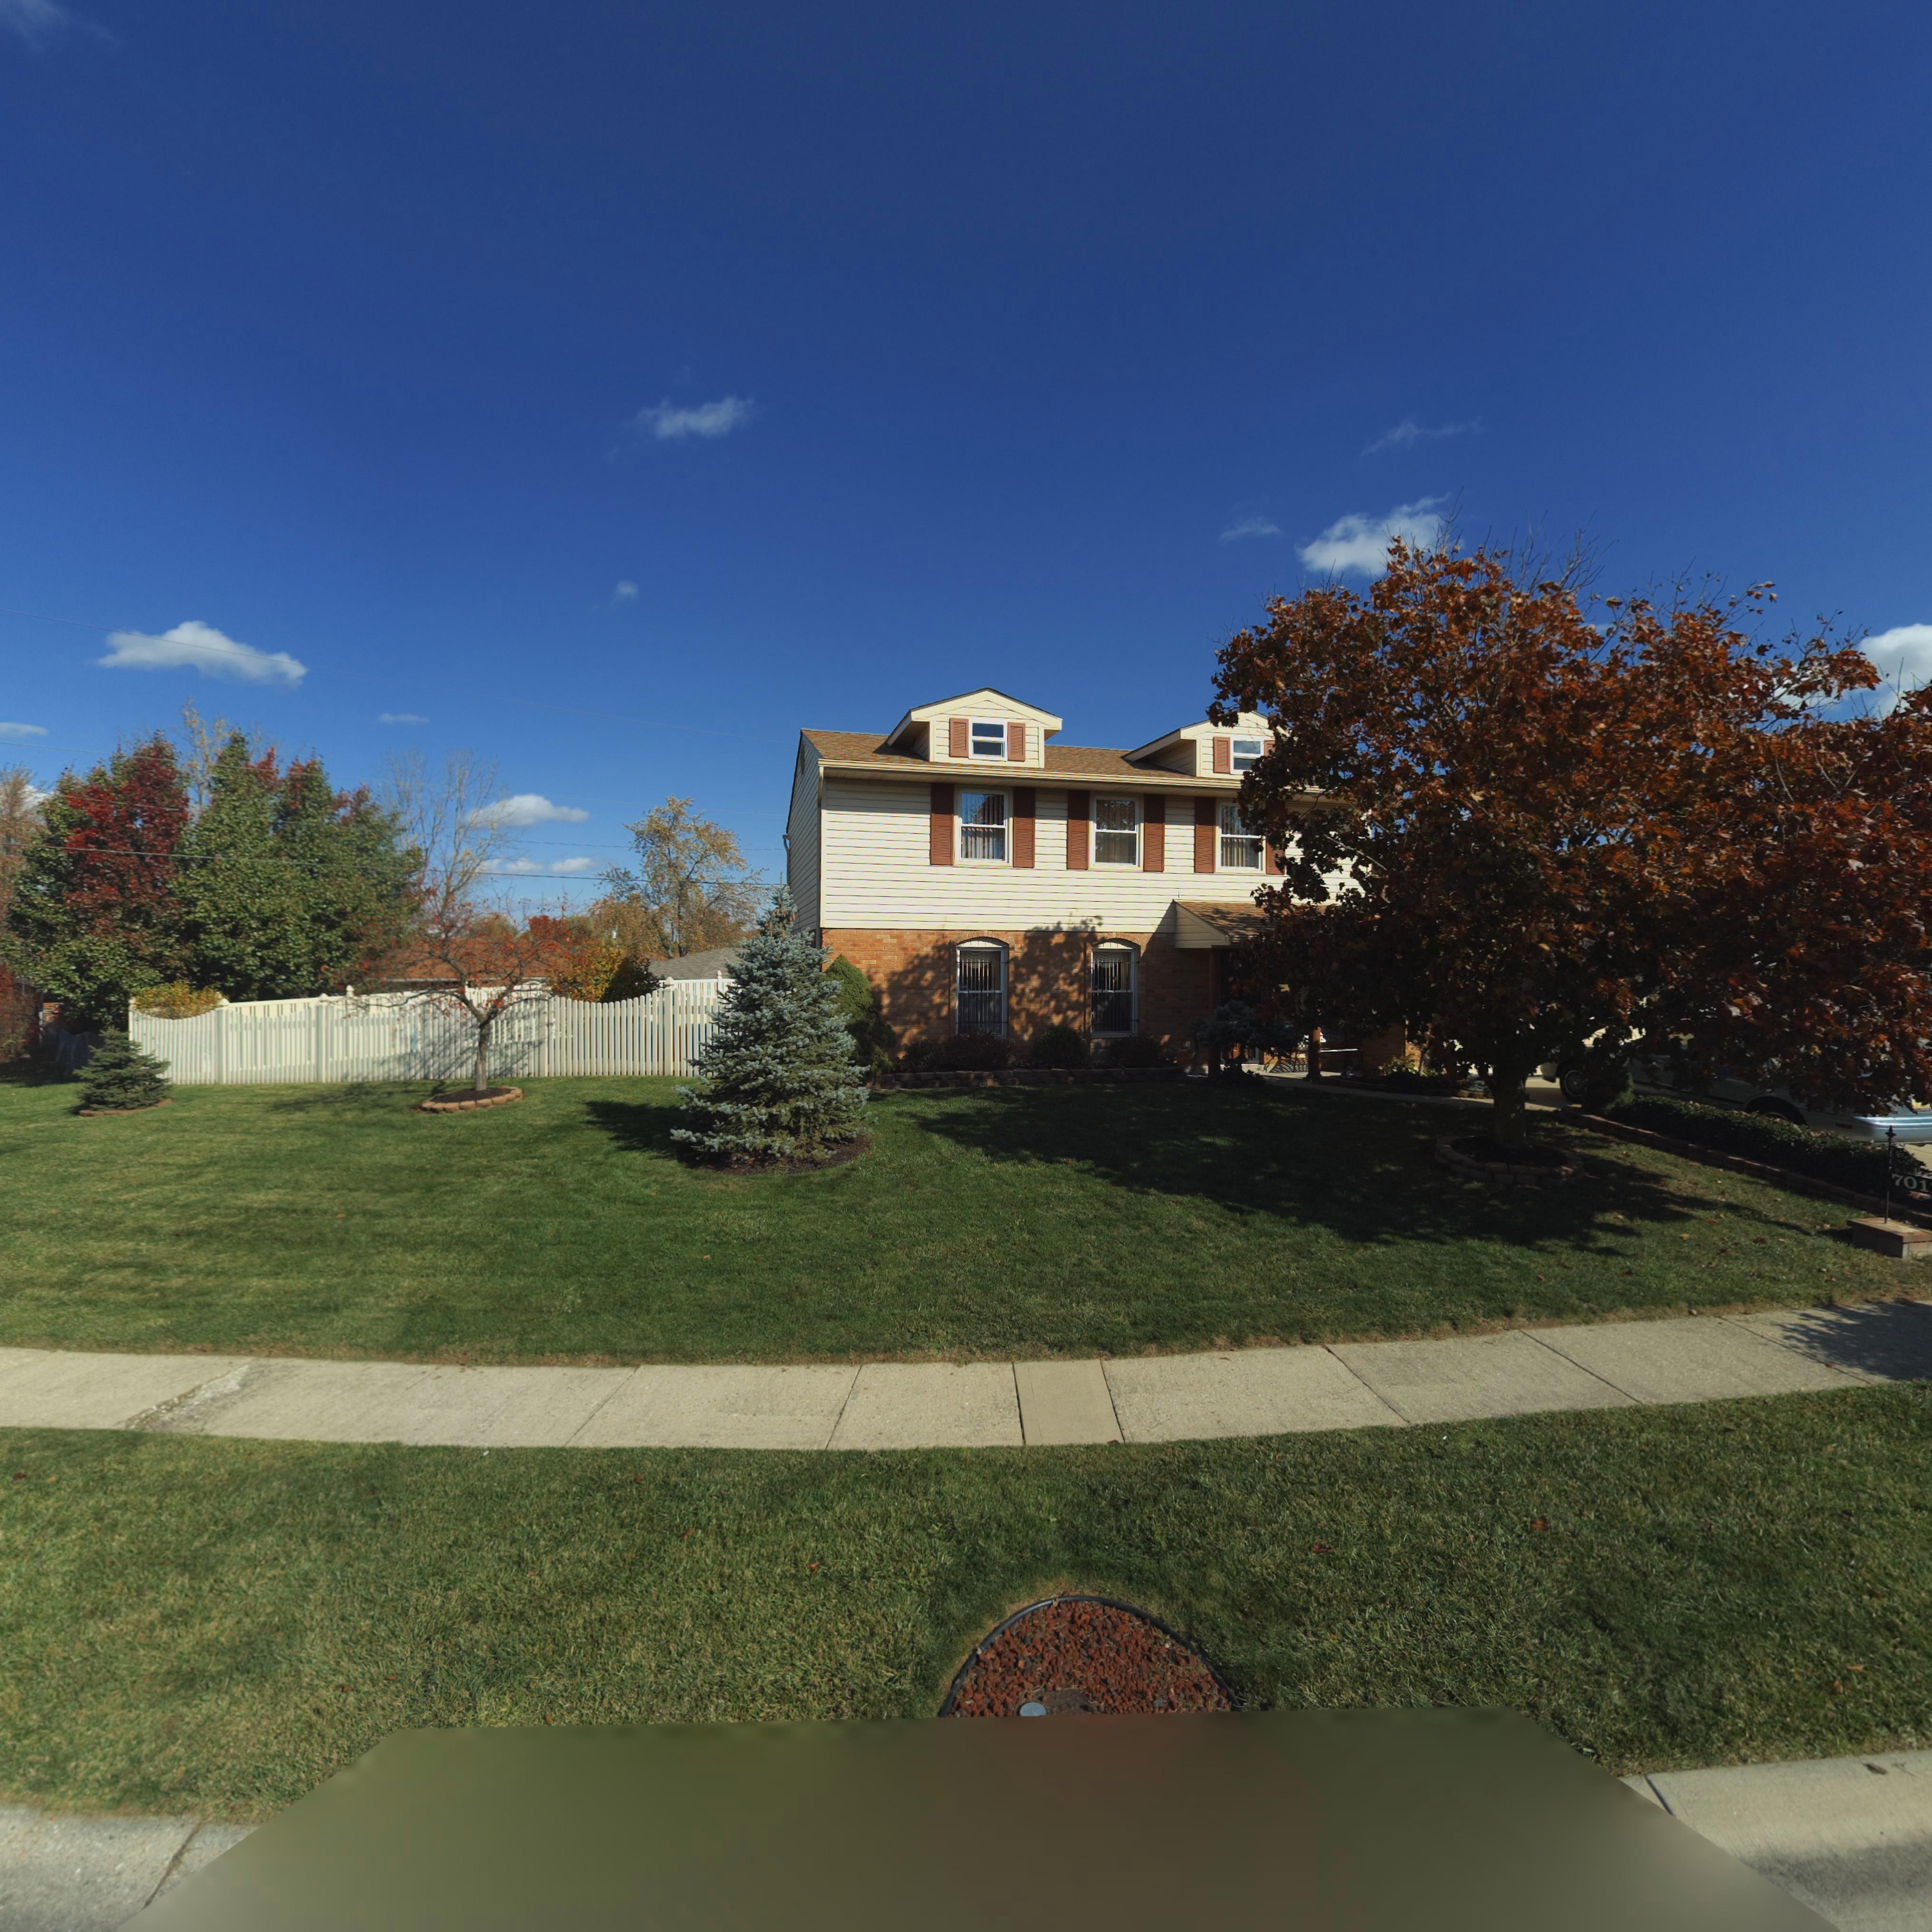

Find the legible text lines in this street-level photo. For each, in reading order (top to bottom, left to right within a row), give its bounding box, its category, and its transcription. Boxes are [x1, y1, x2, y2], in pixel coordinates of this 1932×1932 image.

[1890, 1171, 1930, 1194] StreetNumber: 701